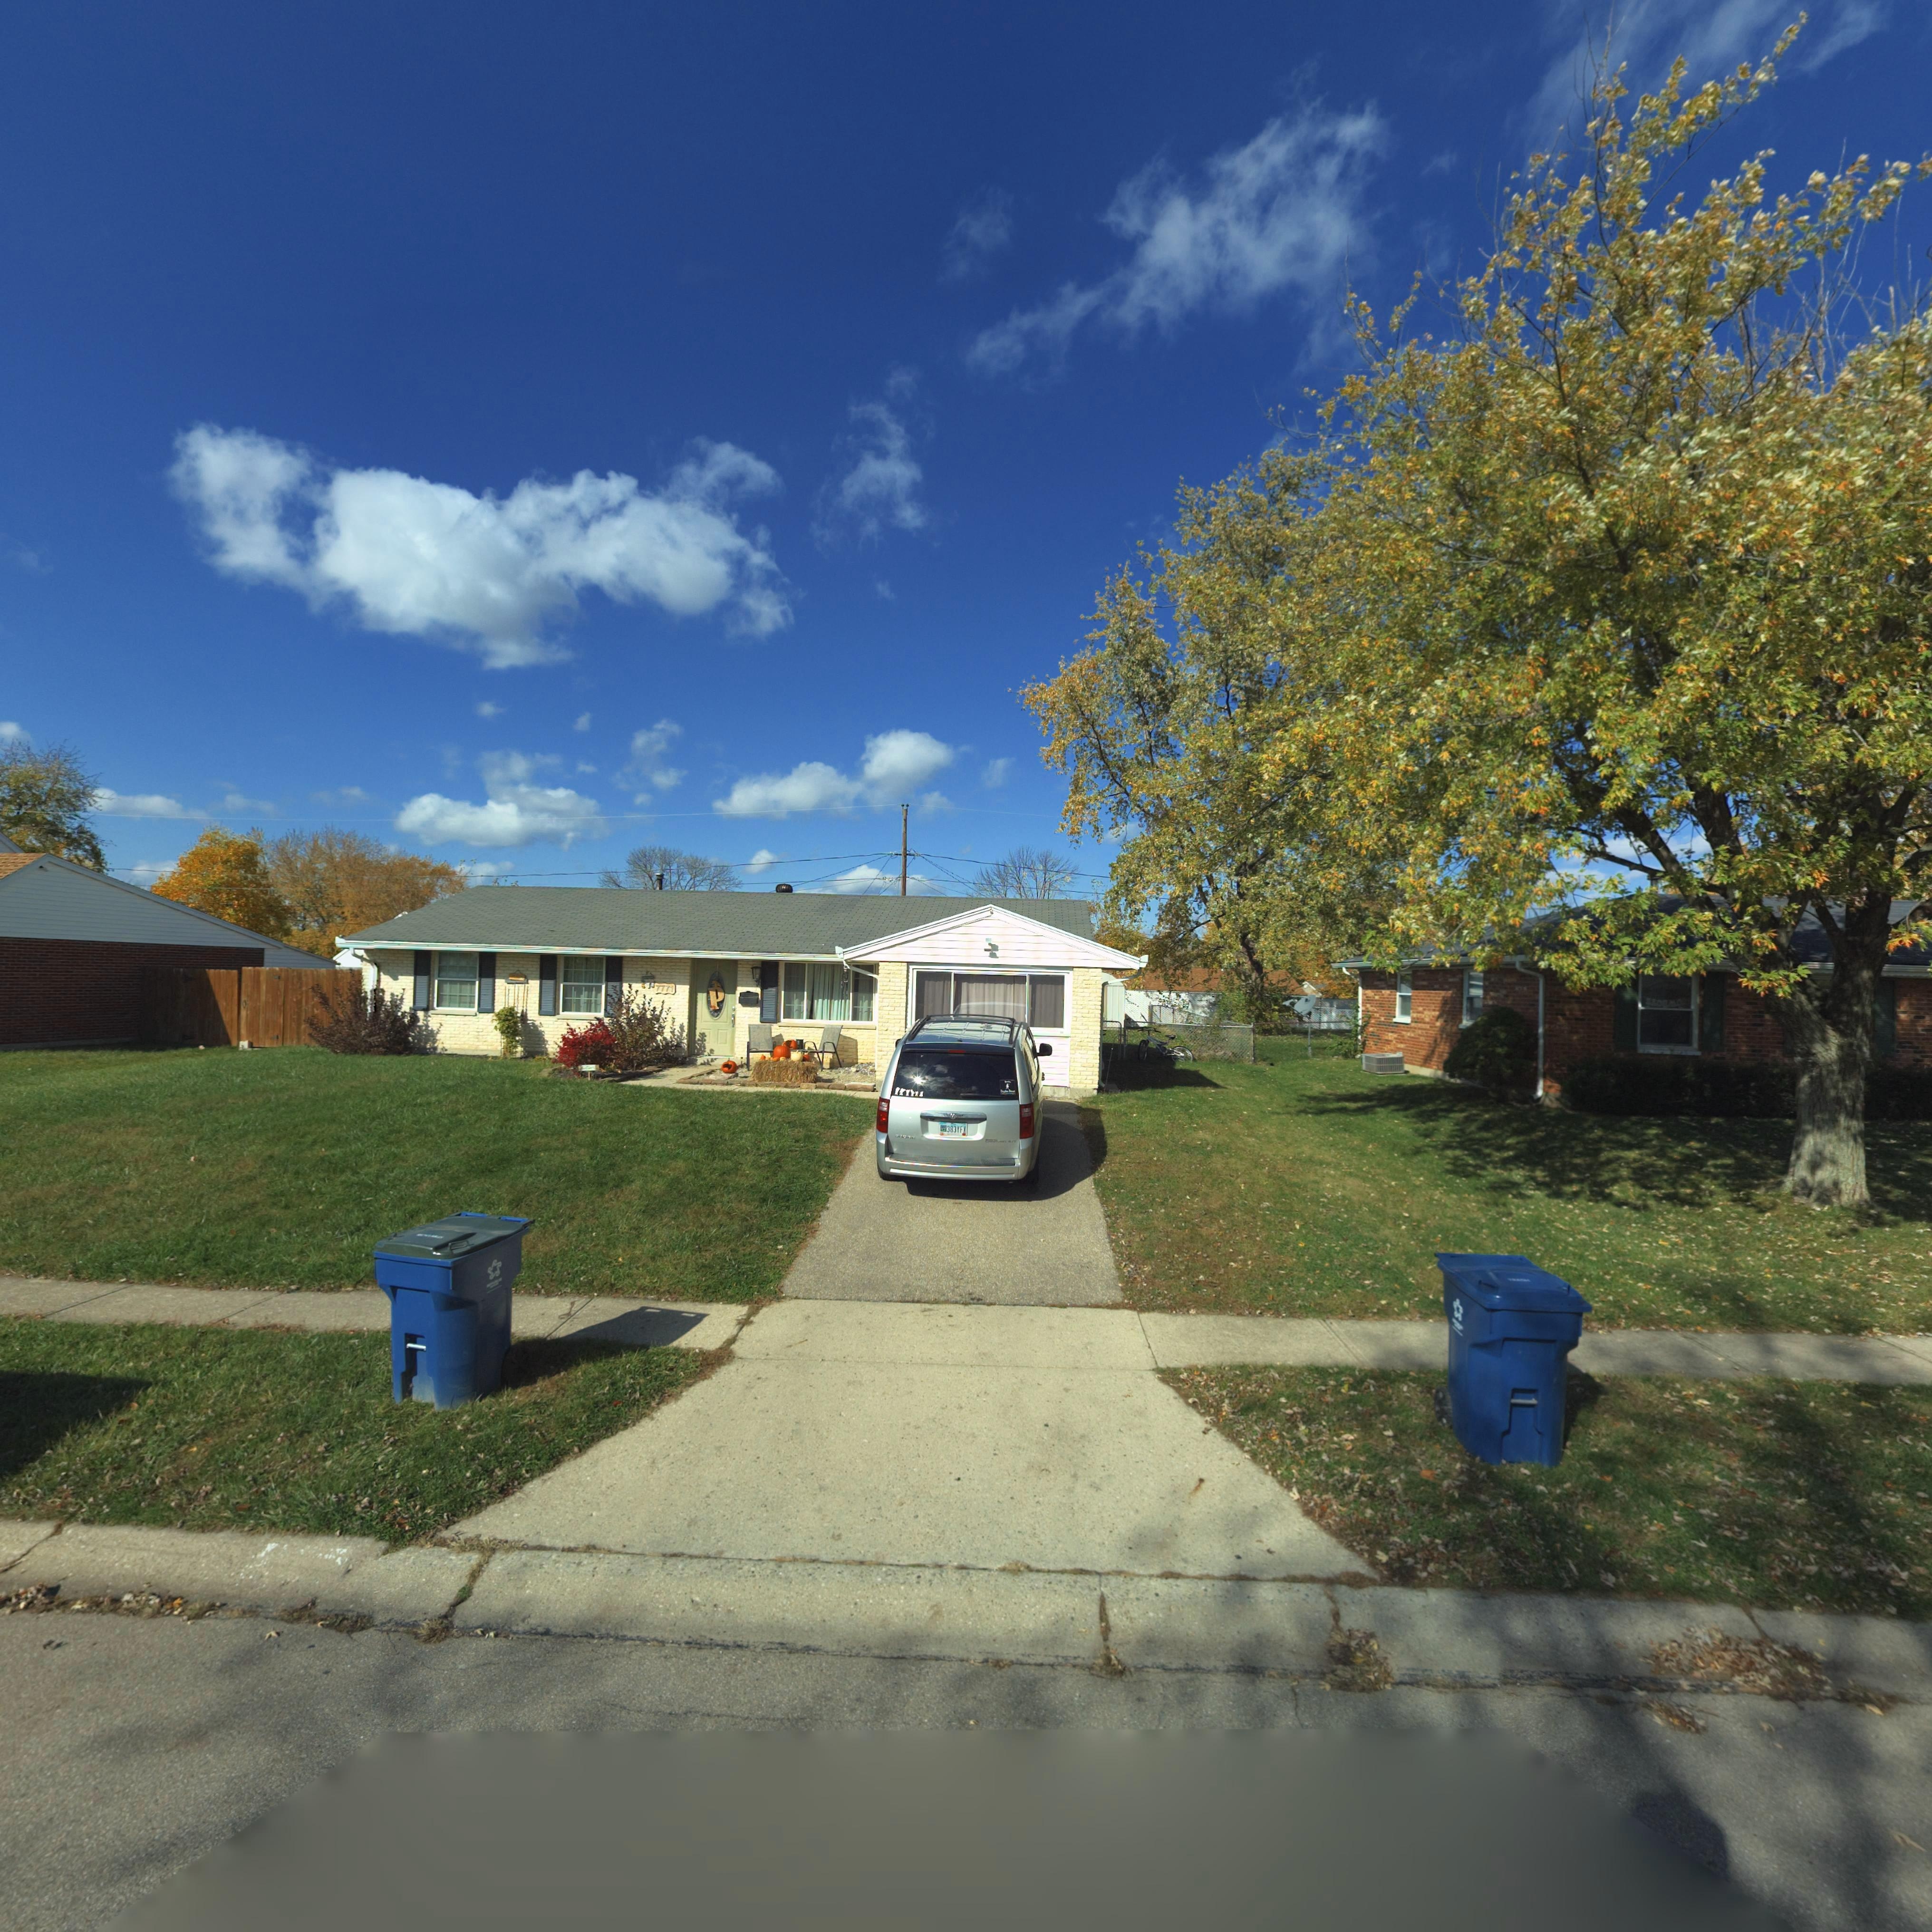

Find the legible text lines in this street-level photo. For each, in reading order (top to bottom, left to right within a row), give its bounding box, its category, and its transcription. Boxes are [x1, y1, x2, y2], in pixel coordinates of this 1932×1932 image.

[656, 985, 674, 993] StreetNumber: 7771